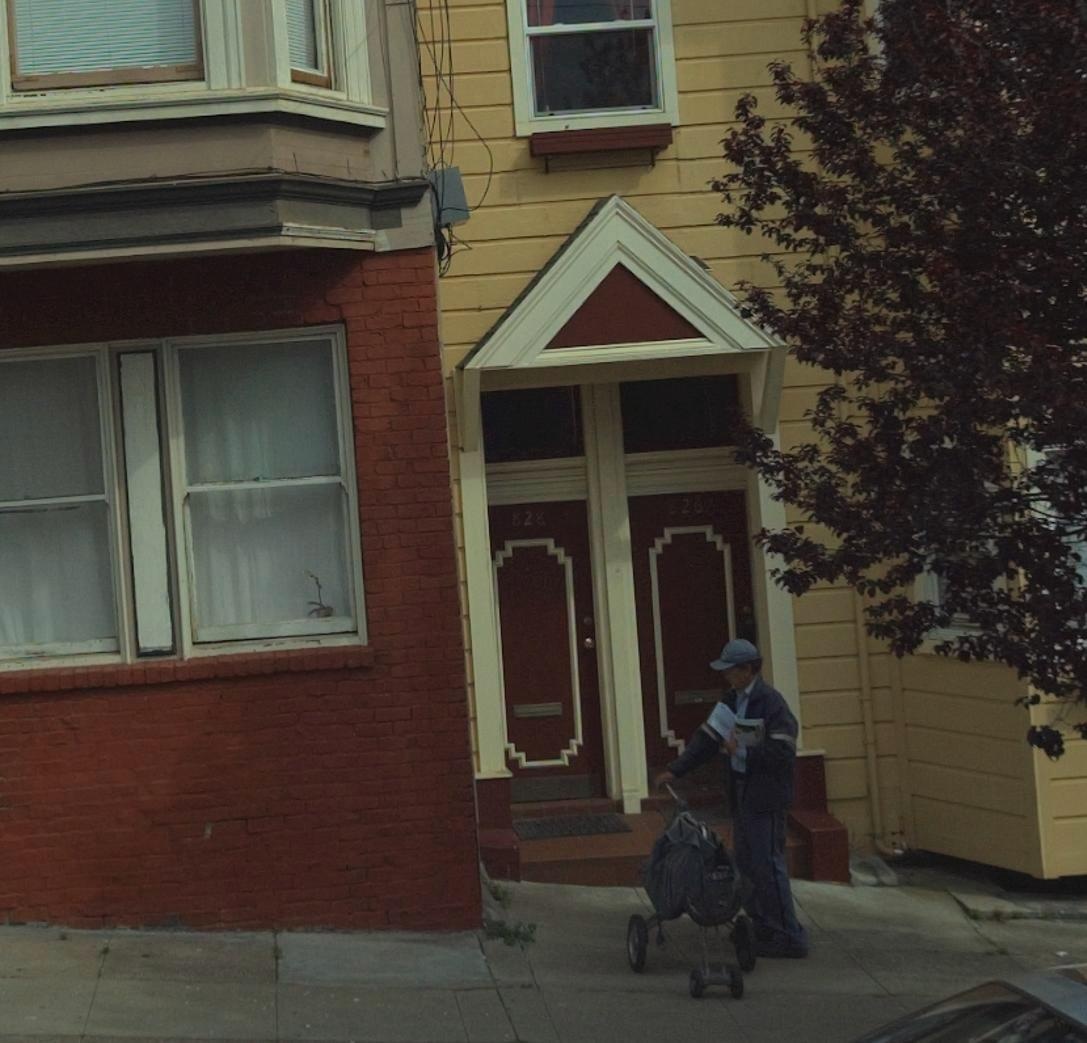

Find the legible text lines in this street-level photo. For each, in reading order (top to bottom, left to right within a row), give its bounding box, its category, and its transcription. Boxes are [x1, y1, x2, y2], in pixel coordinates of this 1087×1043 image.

[666, 497, 705, 514] StreetNumber: 826
[509, 508, 549, 527] StreetNumber: 828